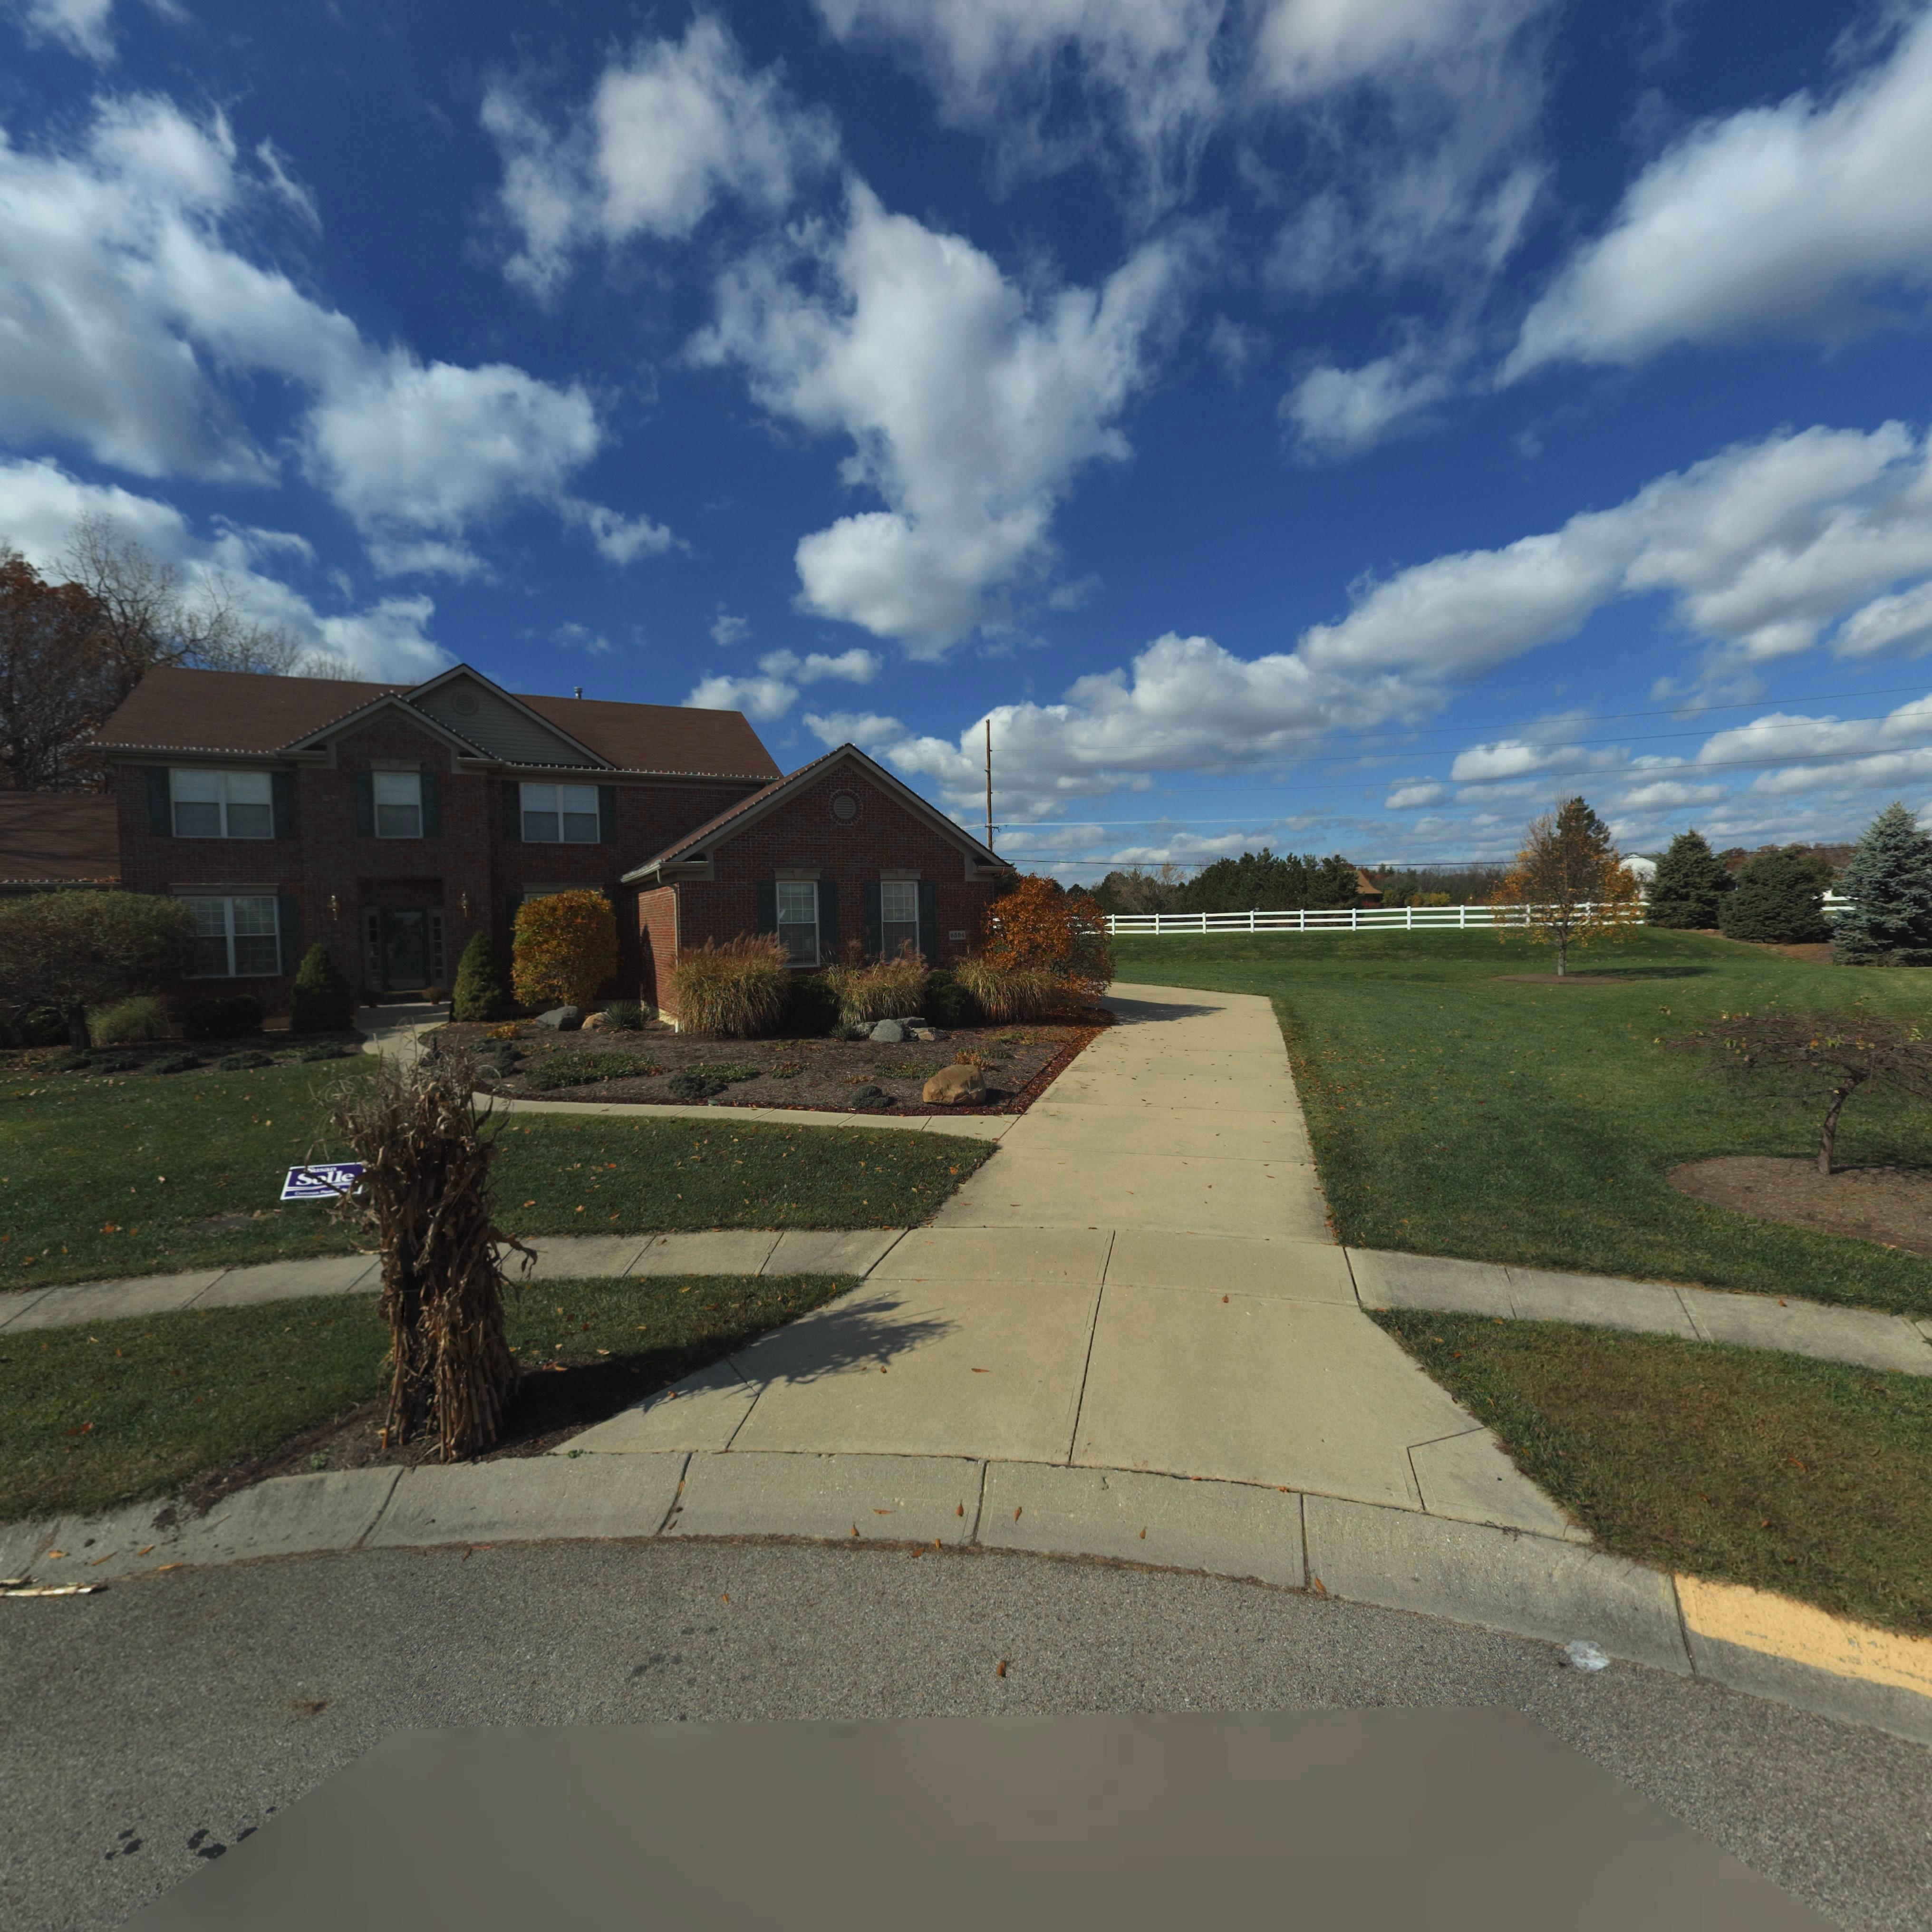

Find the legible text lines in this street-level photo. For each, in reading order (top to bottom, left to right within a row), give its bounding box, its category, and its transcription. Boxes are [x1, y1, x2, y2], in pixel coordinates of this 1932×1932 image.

[950, 932, 965, 938] StreetNumber: 6594